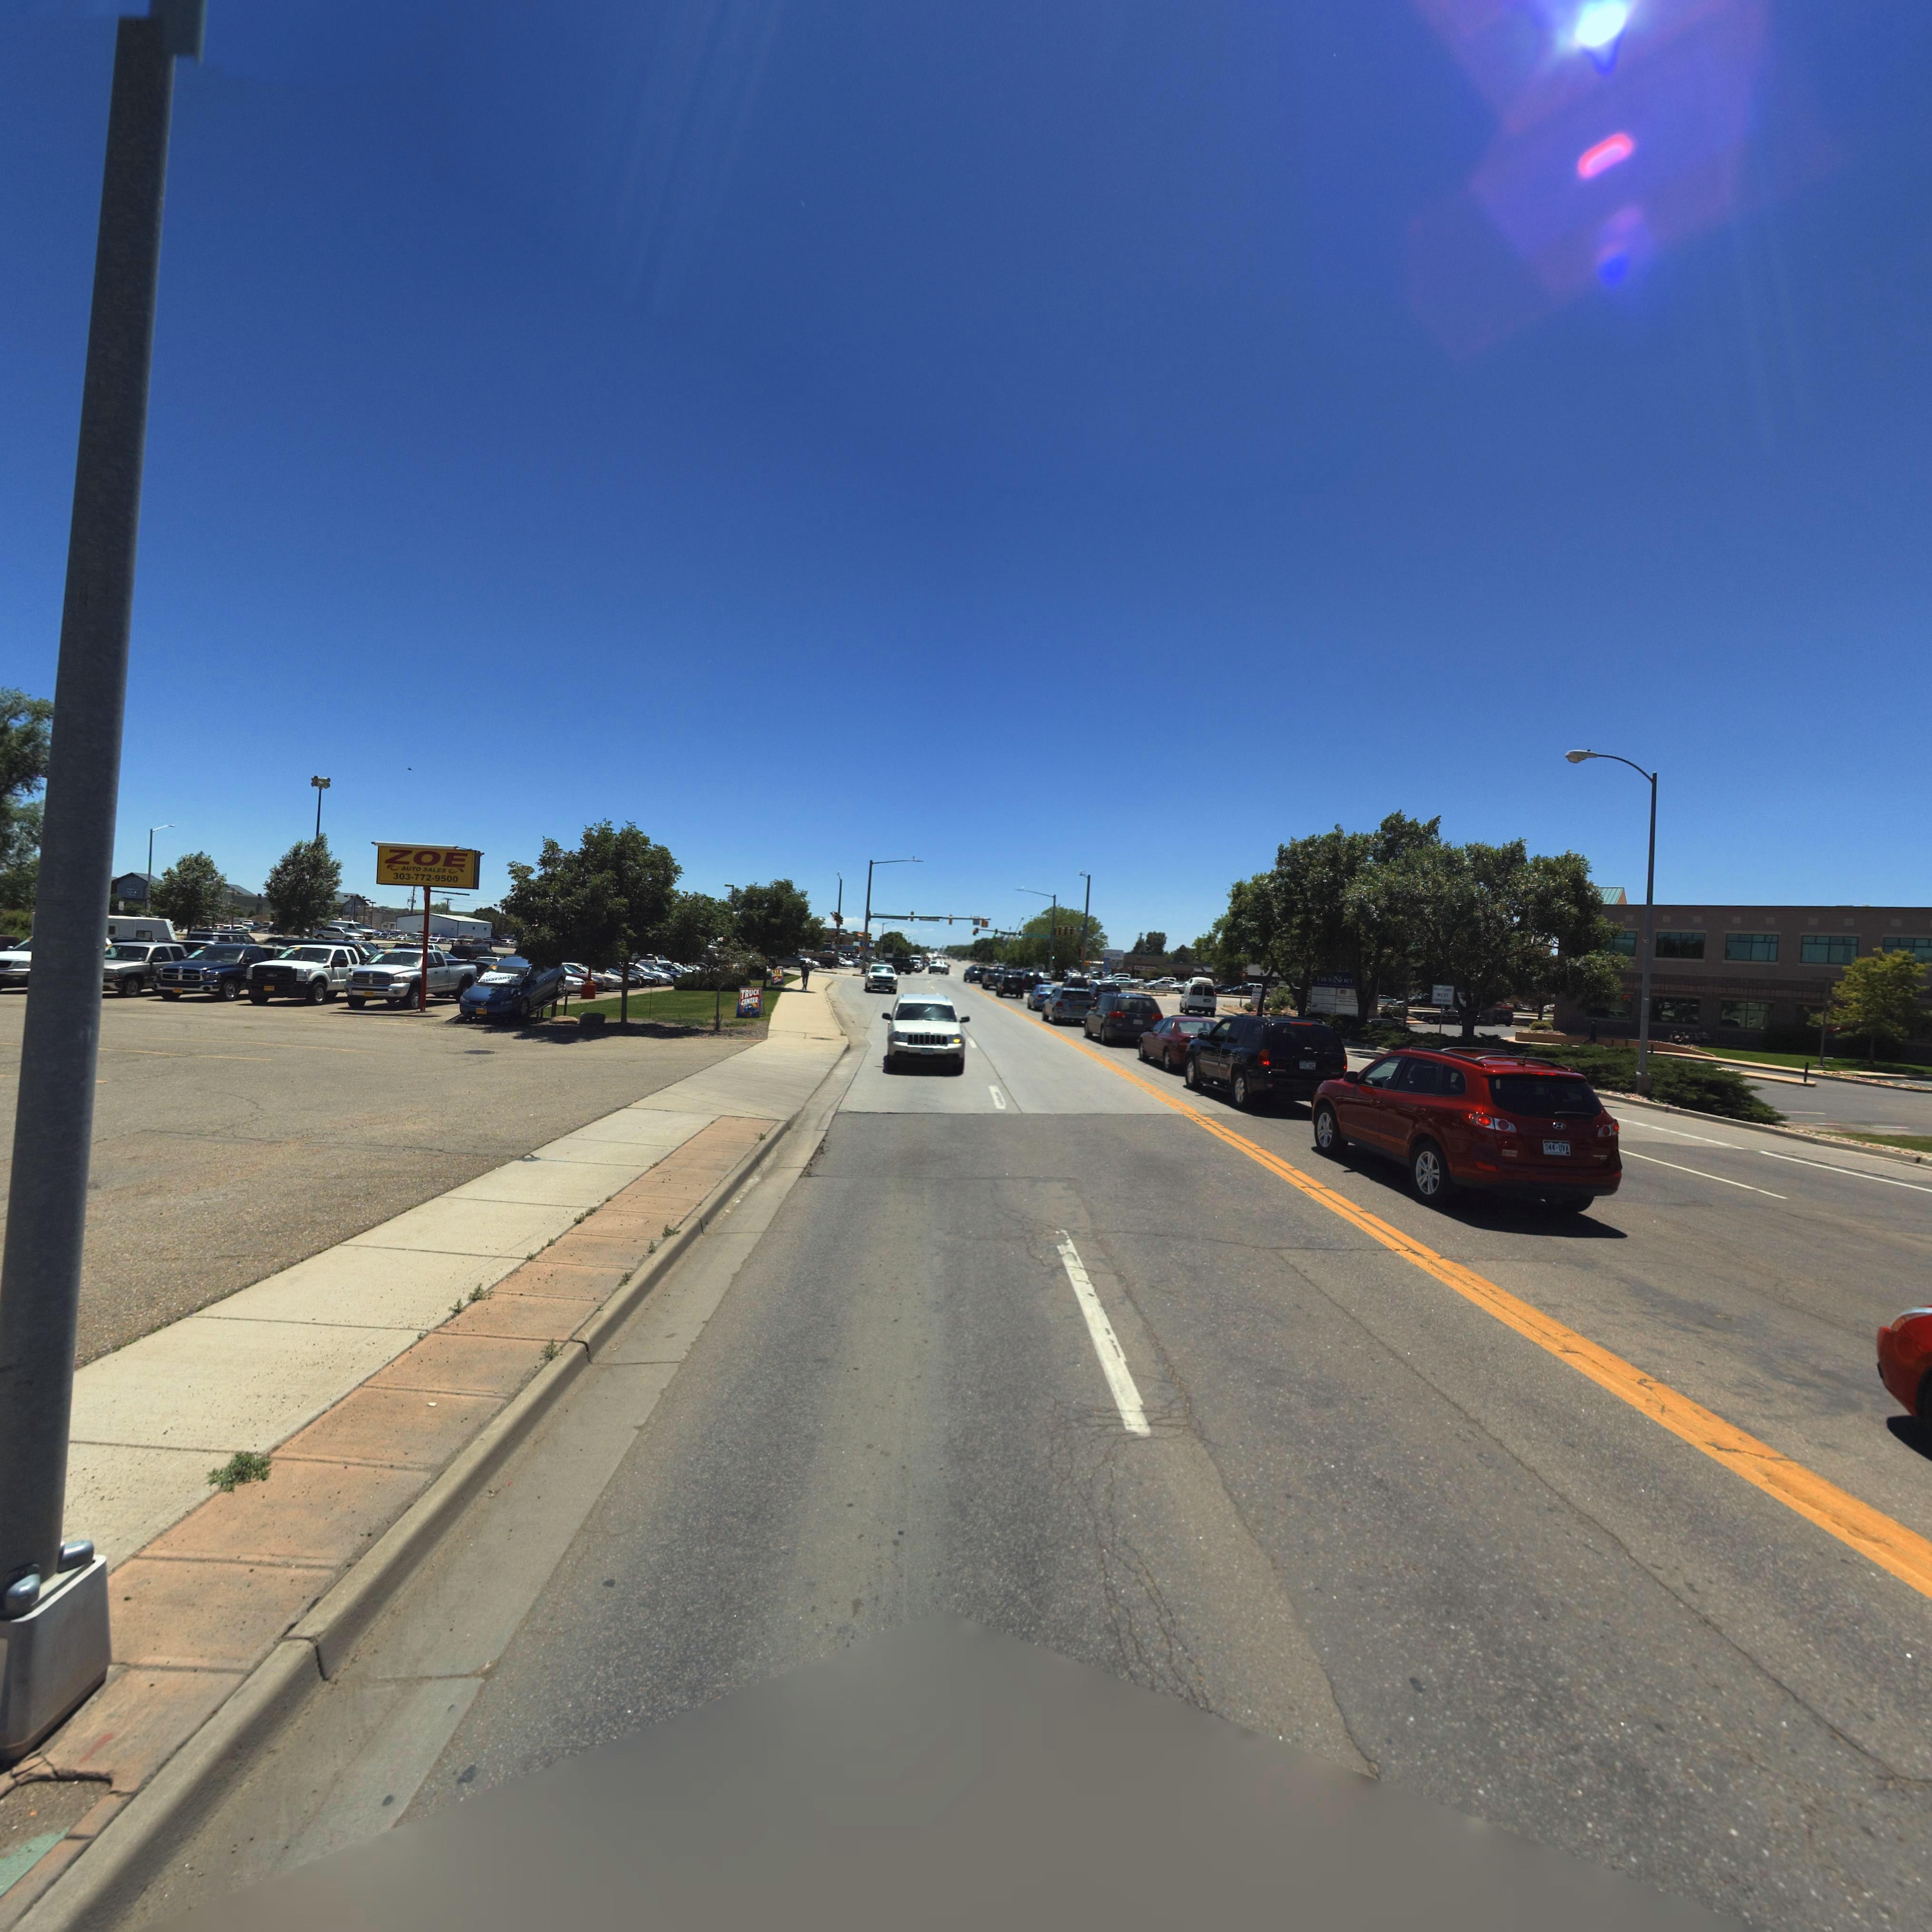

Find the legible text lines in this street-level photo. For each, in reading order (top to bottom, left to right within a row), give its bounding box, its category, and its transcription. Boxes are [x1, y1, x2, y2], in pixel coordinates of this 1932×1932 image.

[384, 848, 468, 868] BusinessName: ZOE
[400, 866, 446, 872] BusinessName: AUTO SALES